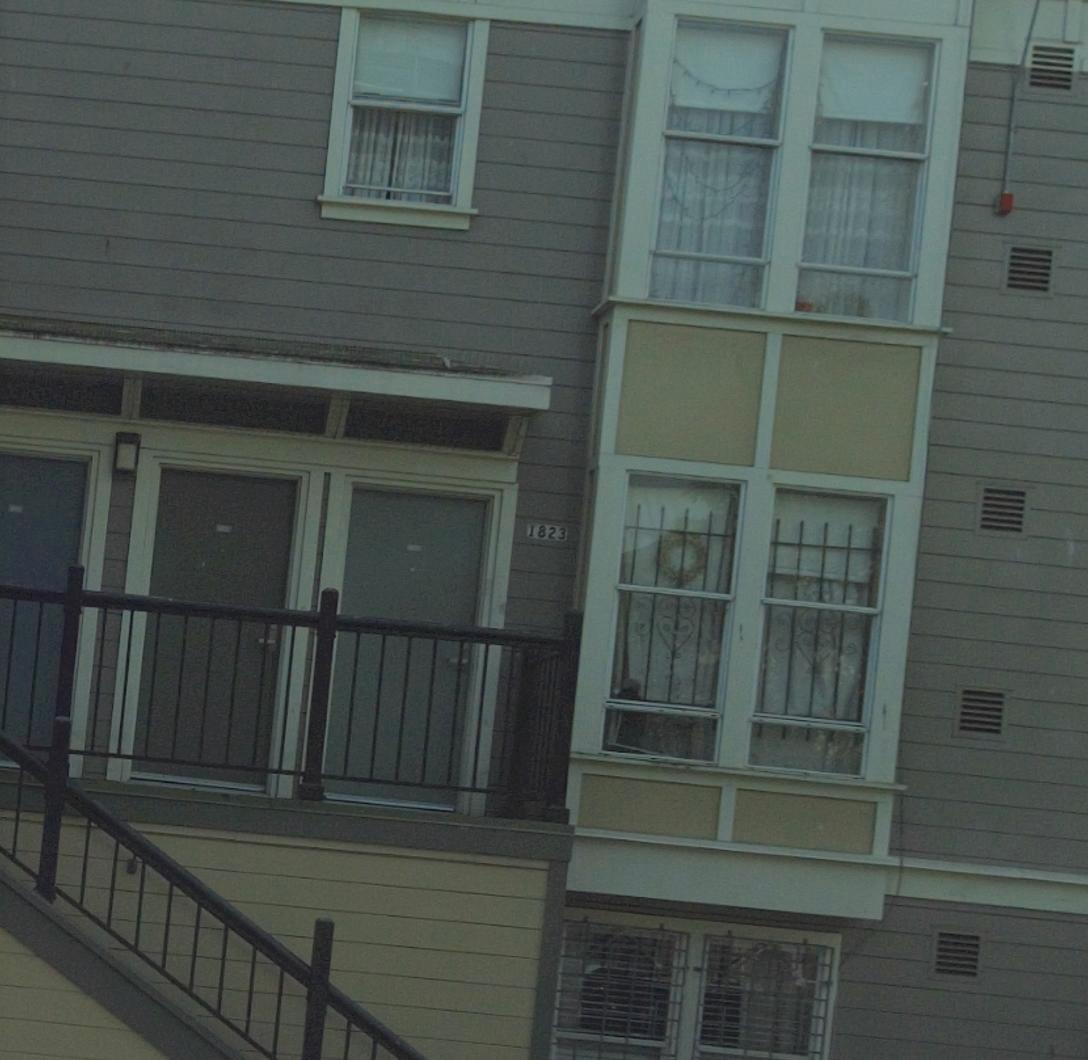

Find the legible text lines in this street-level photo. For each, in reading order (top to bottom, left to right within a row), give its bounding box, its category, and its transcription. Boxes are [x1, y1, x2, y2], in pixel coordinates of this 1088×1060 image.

[526, 522, 569, 543] StreetNumber: 1823